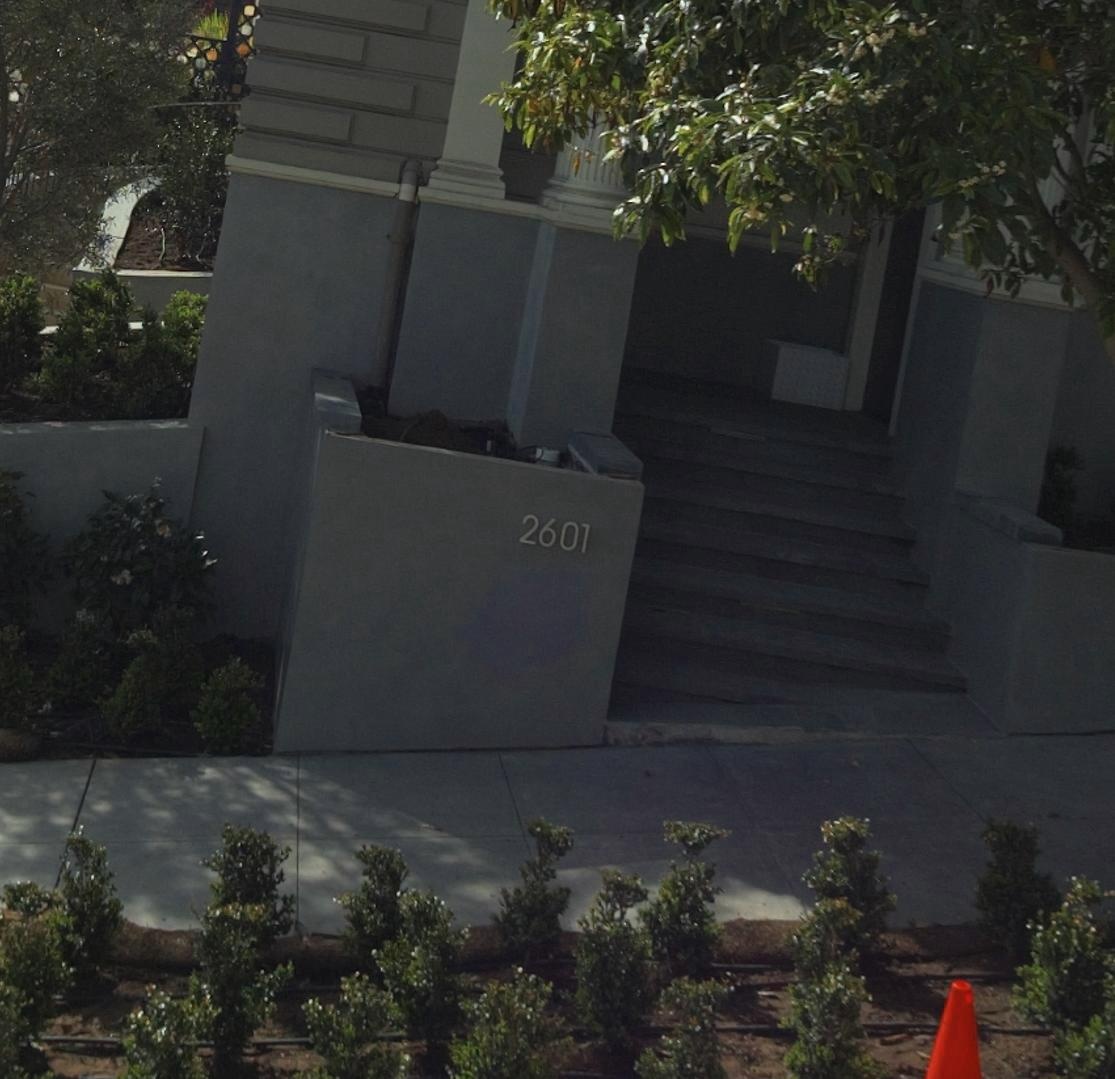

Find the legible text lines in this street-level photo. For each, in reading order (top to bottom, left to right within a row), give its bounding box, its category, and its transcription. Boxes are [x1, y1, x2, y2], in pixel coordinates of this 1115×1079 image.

[513, 509, 595, 557] StreetNumber: 2601